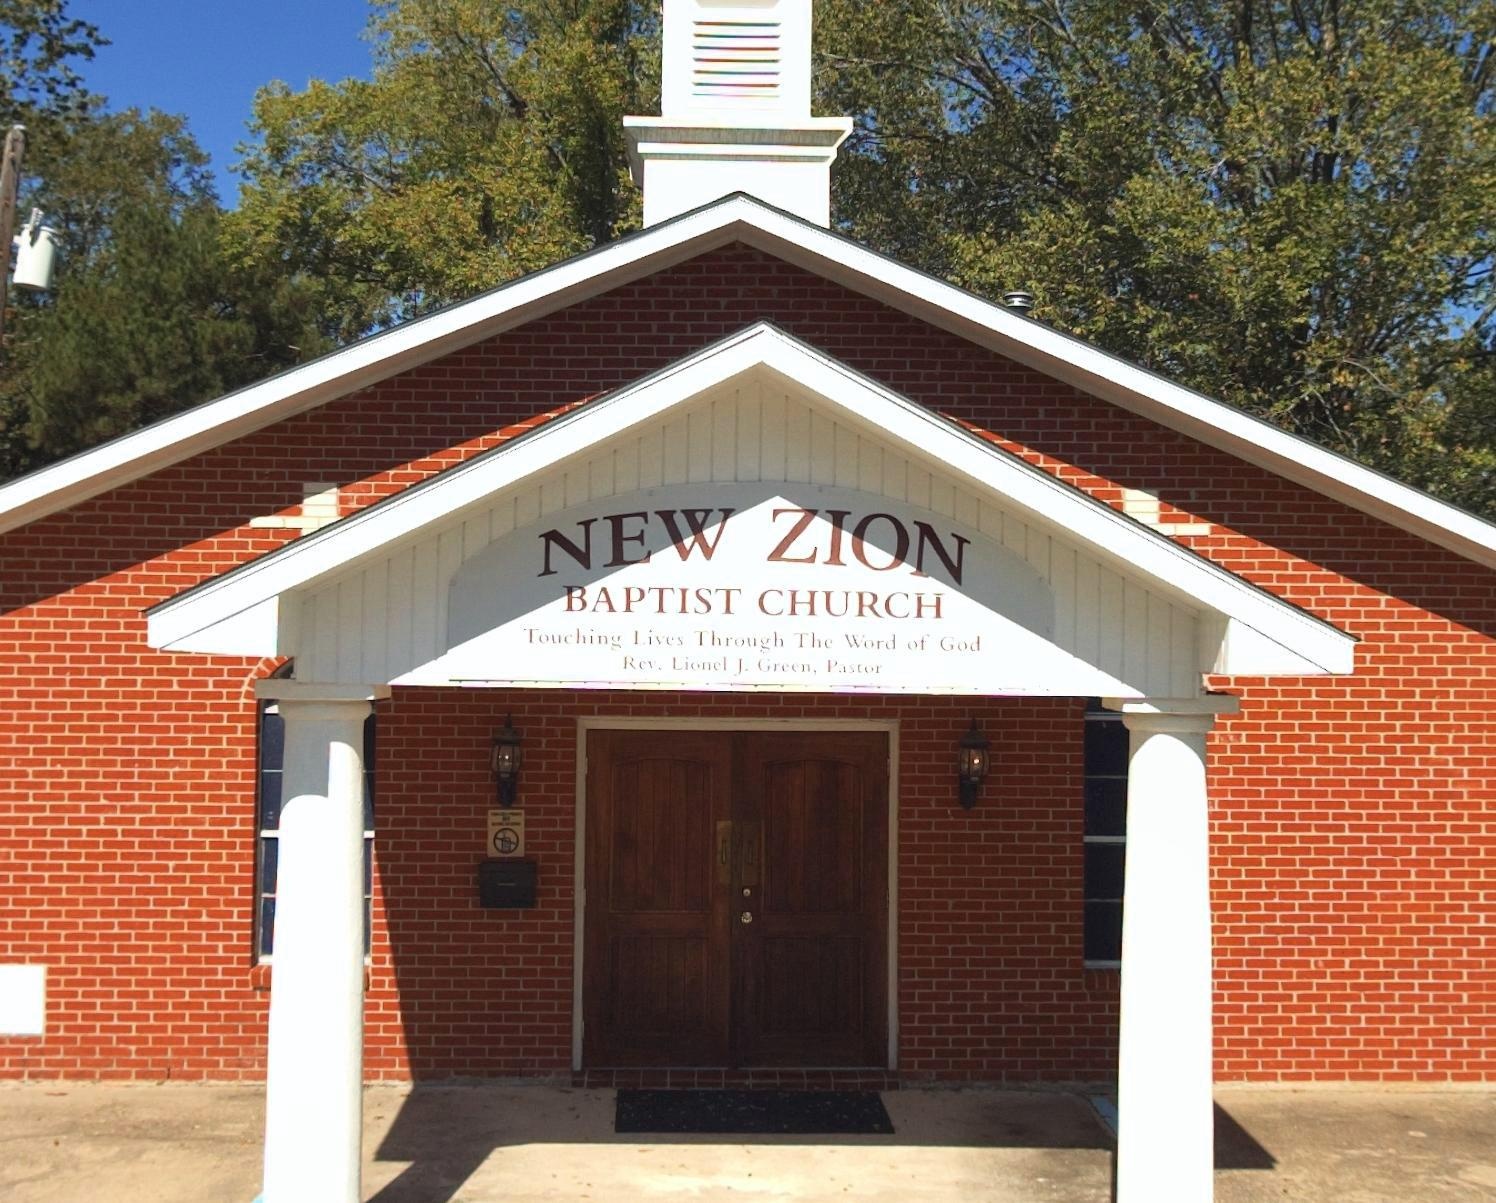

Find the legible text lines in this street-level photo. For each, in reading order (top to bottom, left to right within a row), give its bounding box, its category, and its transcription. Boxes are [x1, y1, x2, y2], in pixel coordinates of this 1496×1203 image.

[533, 503, 975, 590] BusinessName: NEW ZION
[560, 583, 947, 622] BusinessName: BAPTIST CHURCH
[521, 626, 983, 655] None: Touching Lives Through The Word of God
[620, 653, 886, 679] None: Rev. Lionel J. Green, Pastor